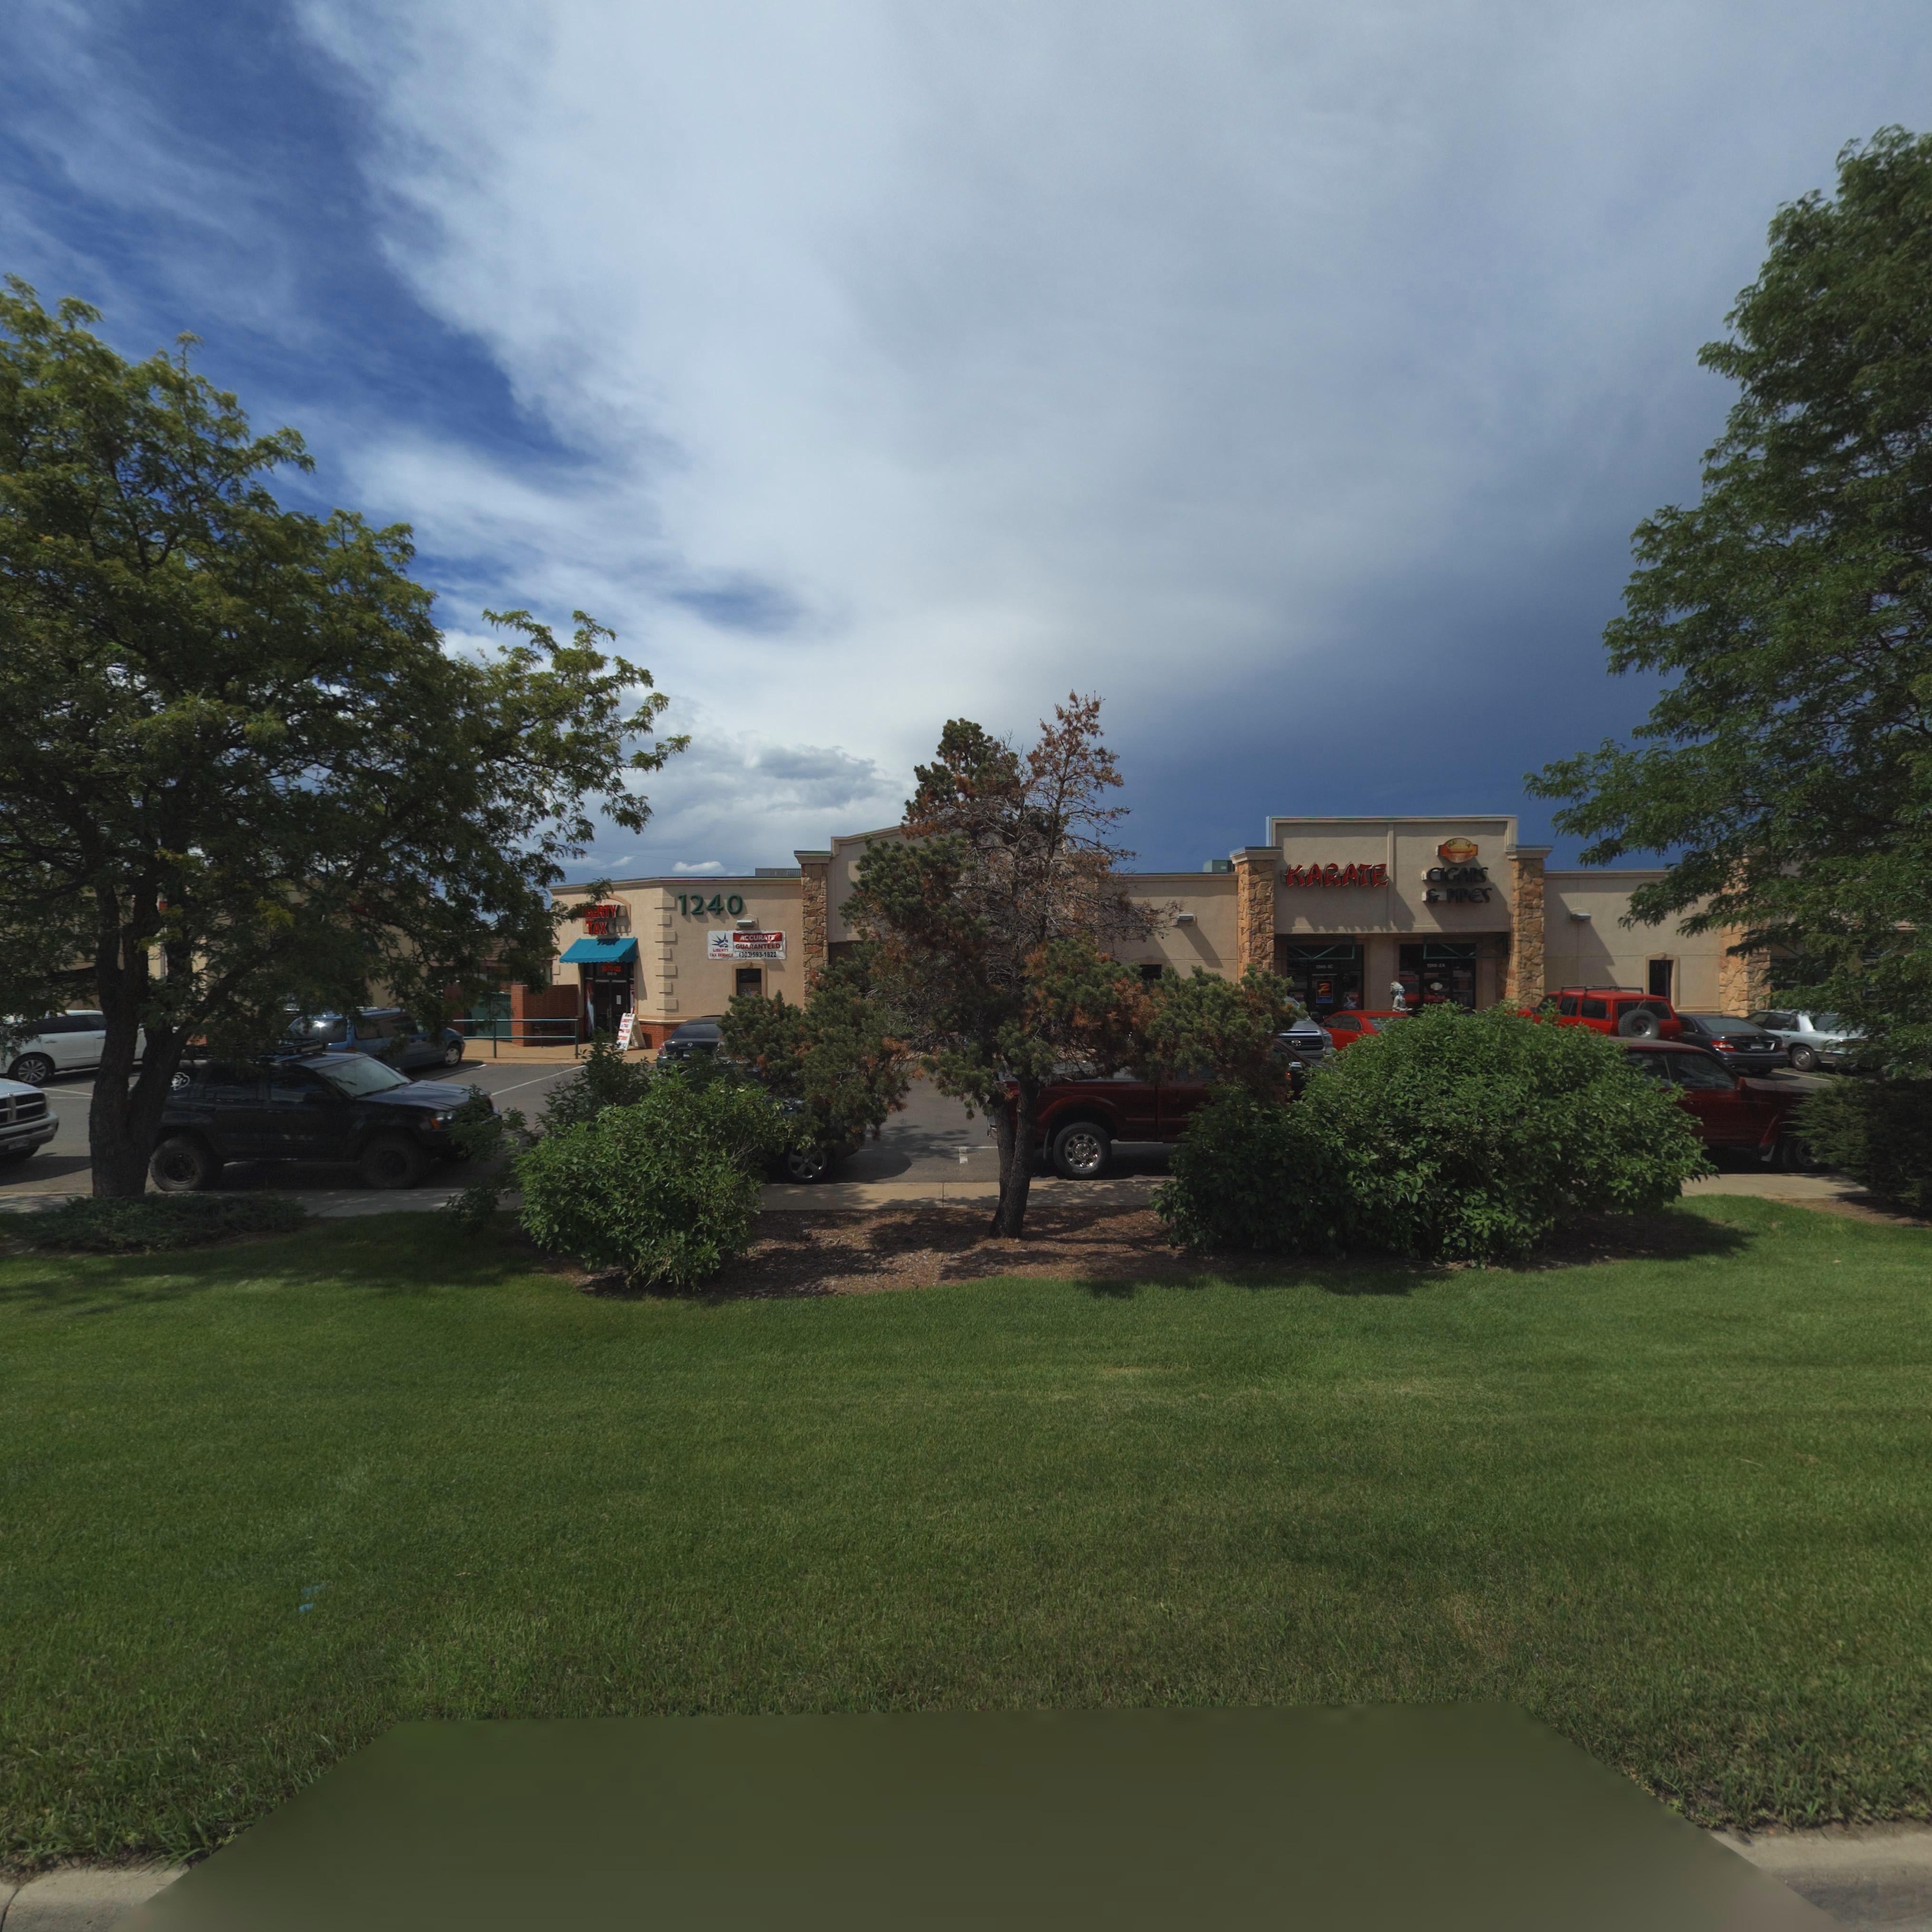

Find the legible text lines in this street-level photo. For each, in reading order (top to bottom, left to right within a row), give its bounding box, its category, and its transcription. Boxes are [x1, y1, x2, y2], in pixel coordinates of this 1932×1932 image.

[1447, 838, 1471, 848] BusinessName: HA***A
[1449, 853, 1470, 861] BusinessName: MA*OR
[1283, 860, 1389, 888] BusinessName: KARATE
[677, 893, 743, 915] StreetNumber: 1240
[575, 903, 618, 918] BusinessName: ****RTY
[585, 919, 608, 935] BusinessName: TAX
[1316, 965, 1326, 969] StreetNumber: 1240
[1327, 964, 1333, 968] SecondaryUnitDesignator: 1C
[1426, 963, 1437, 967] StreetNumber: 1240
[1439, 963, 1445, 967] SecondaryUnitDesignator: 2A
[613, 972, 617, 976] SecondaryUnitDesignator: 1A